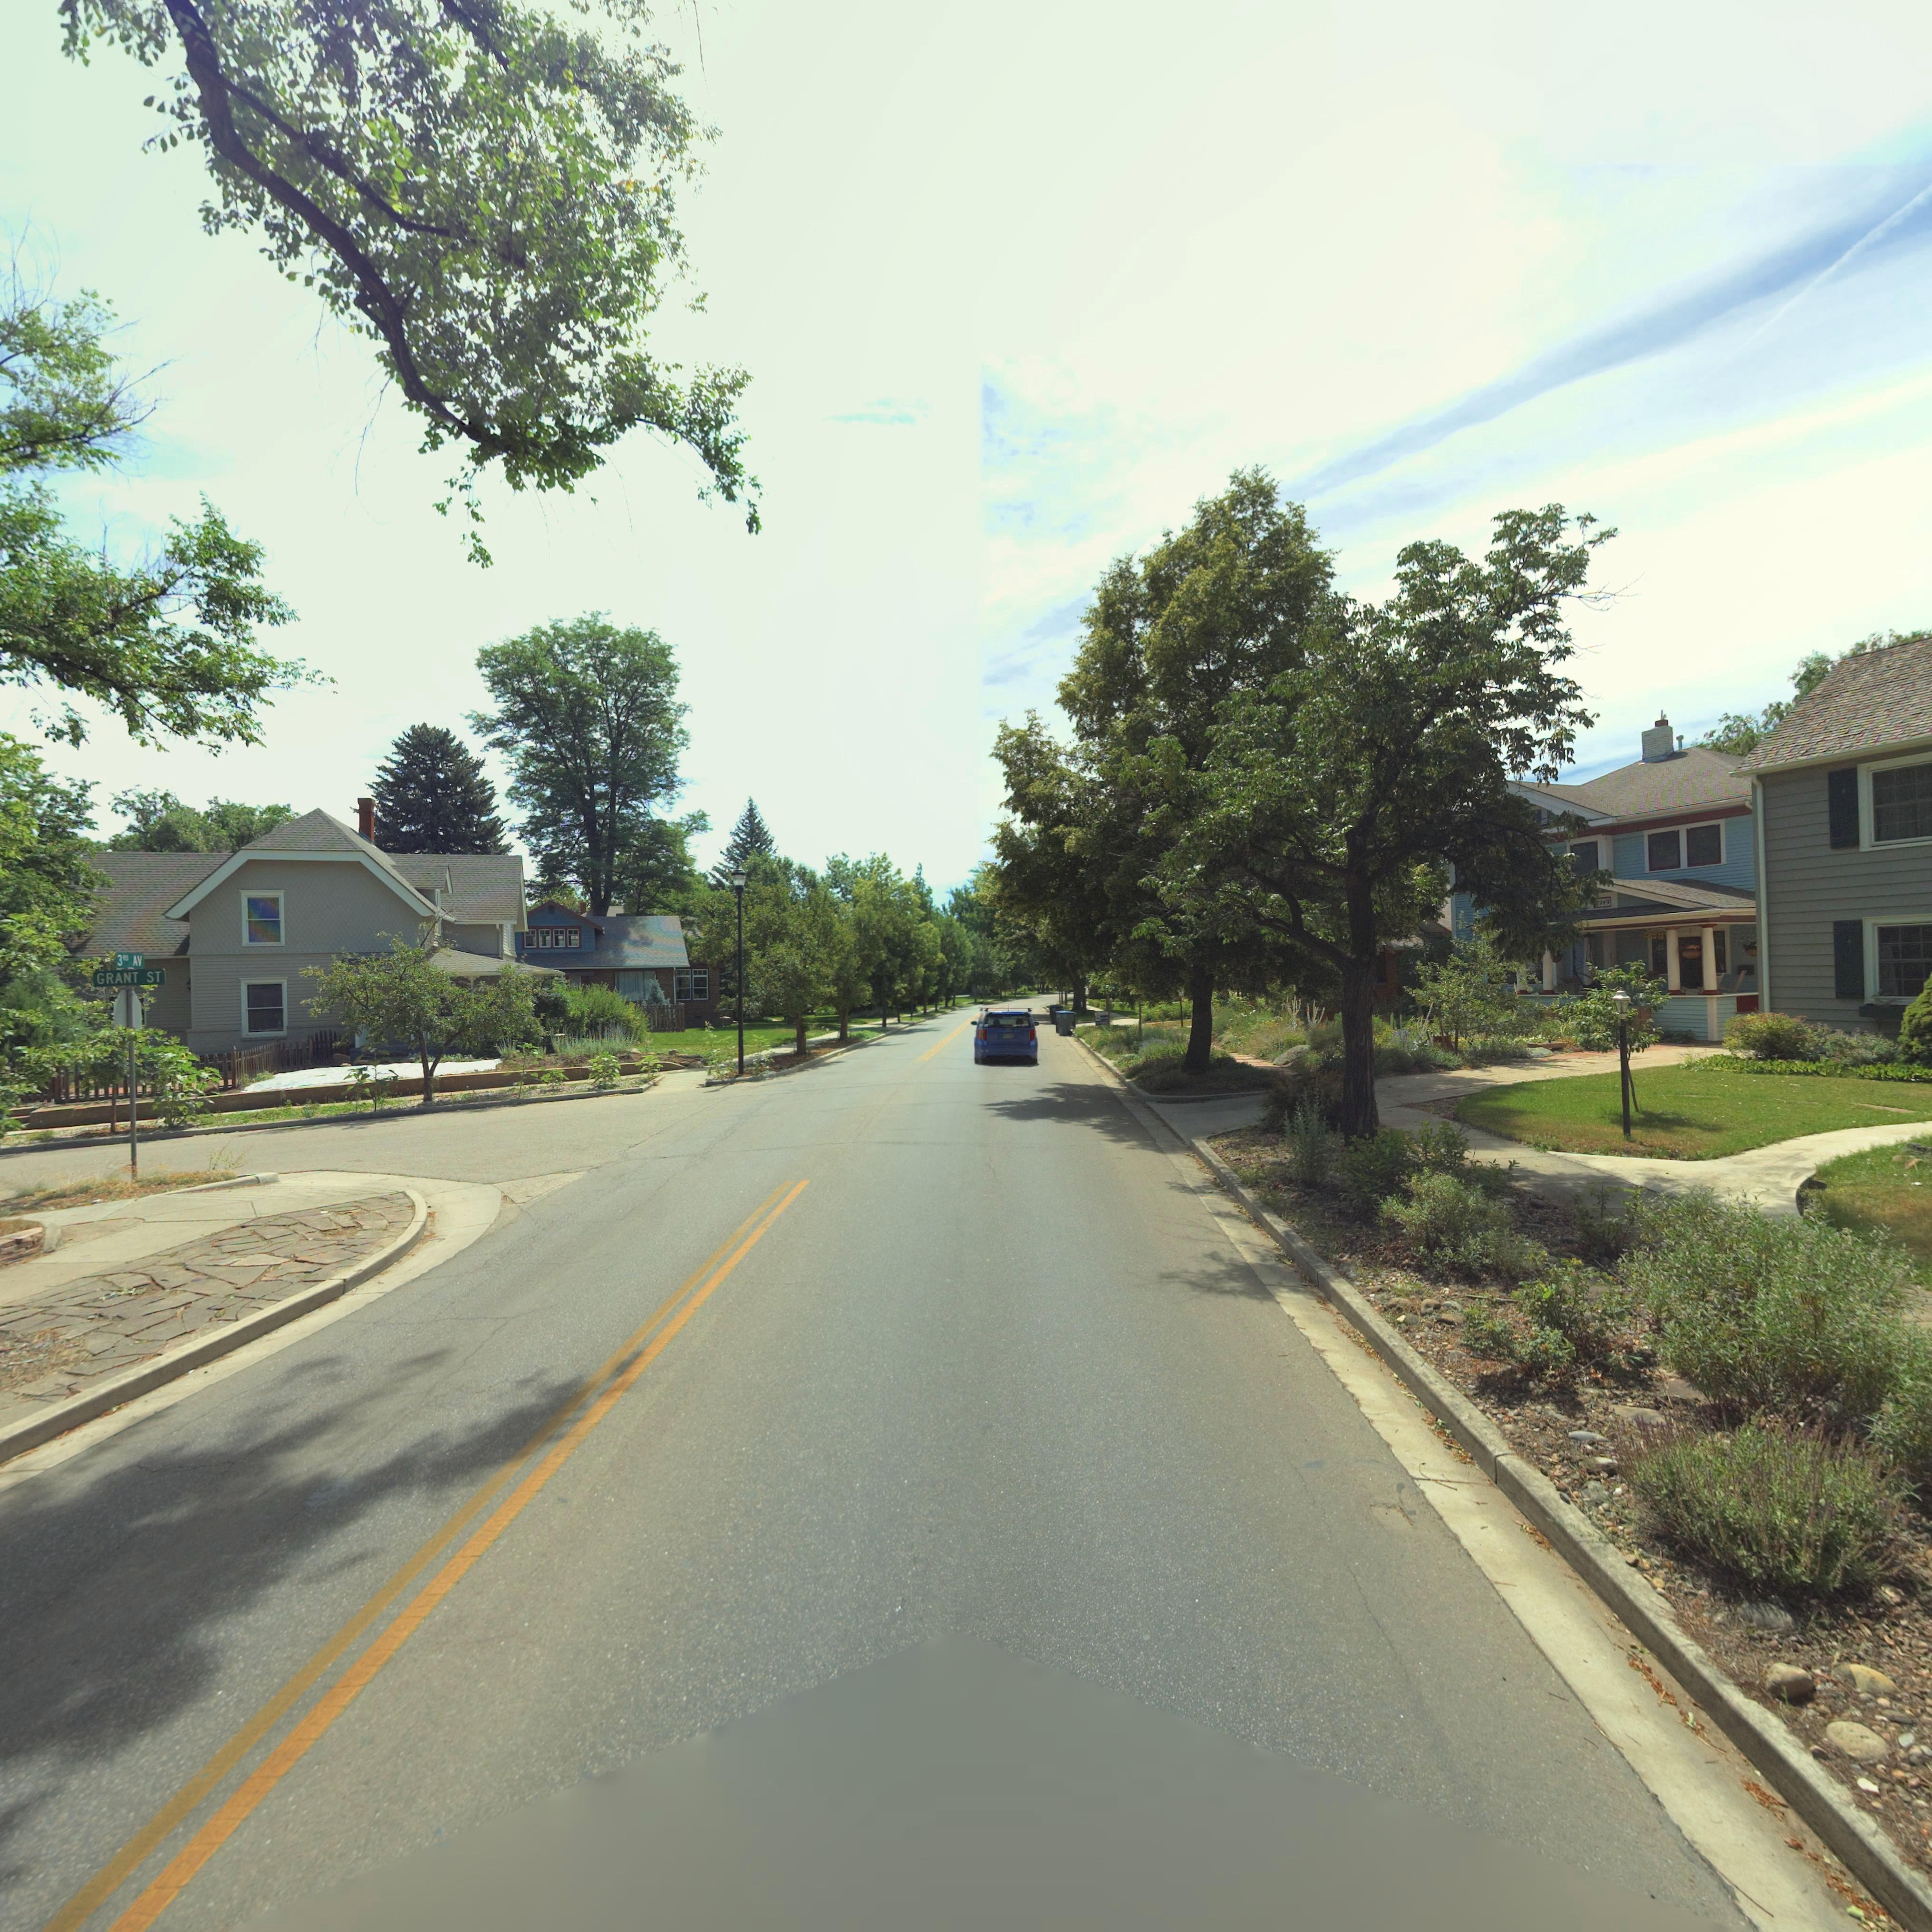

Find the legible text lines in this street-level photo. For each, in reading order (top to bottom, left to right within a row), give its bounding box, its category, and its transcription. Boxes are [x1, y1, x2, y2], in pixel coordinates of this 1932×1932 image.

[1599, 899, 1609, 905] StreetNumber: 249
[117, 954, 143, 966] StreetName: 3RD AV
[96, 971, 161, 985] StreetName: GRANT ST